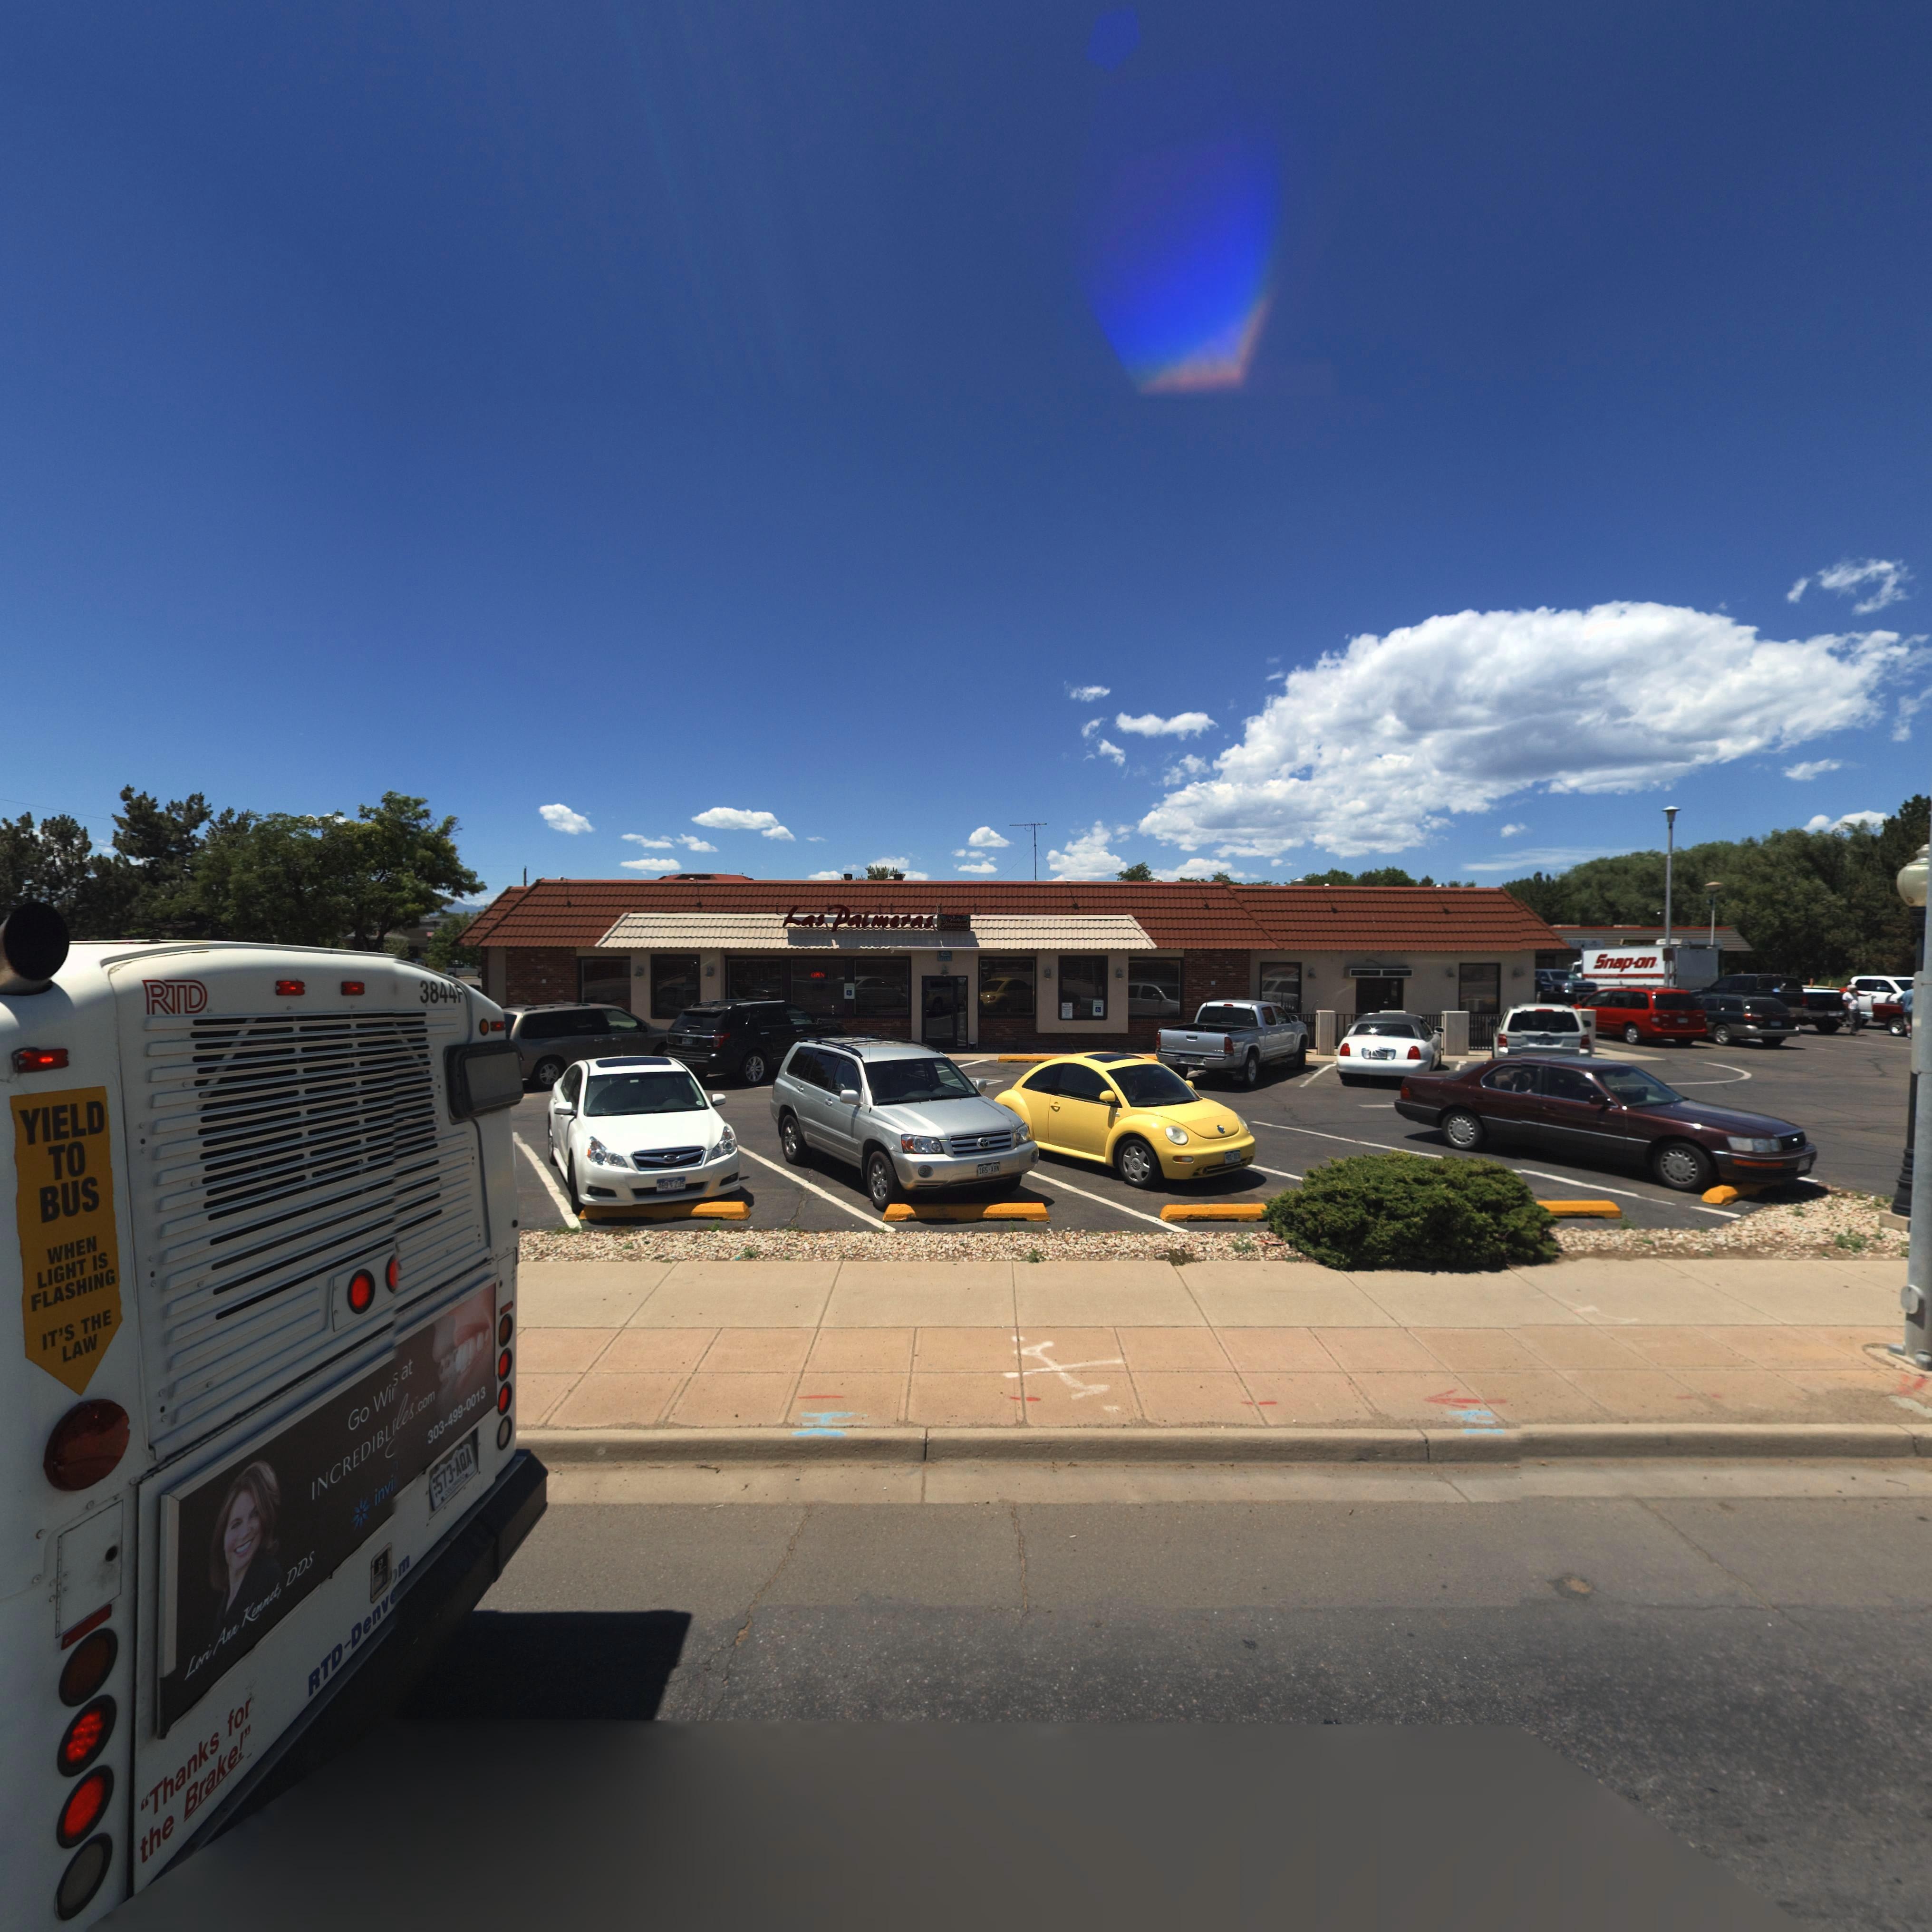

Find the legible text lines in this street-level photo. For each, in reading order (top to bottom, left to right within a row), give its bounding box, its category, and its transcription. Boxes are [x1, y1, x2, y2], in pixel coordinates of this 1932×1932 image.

[781, 903, 935, 932] BusinessName: Las Palmeras